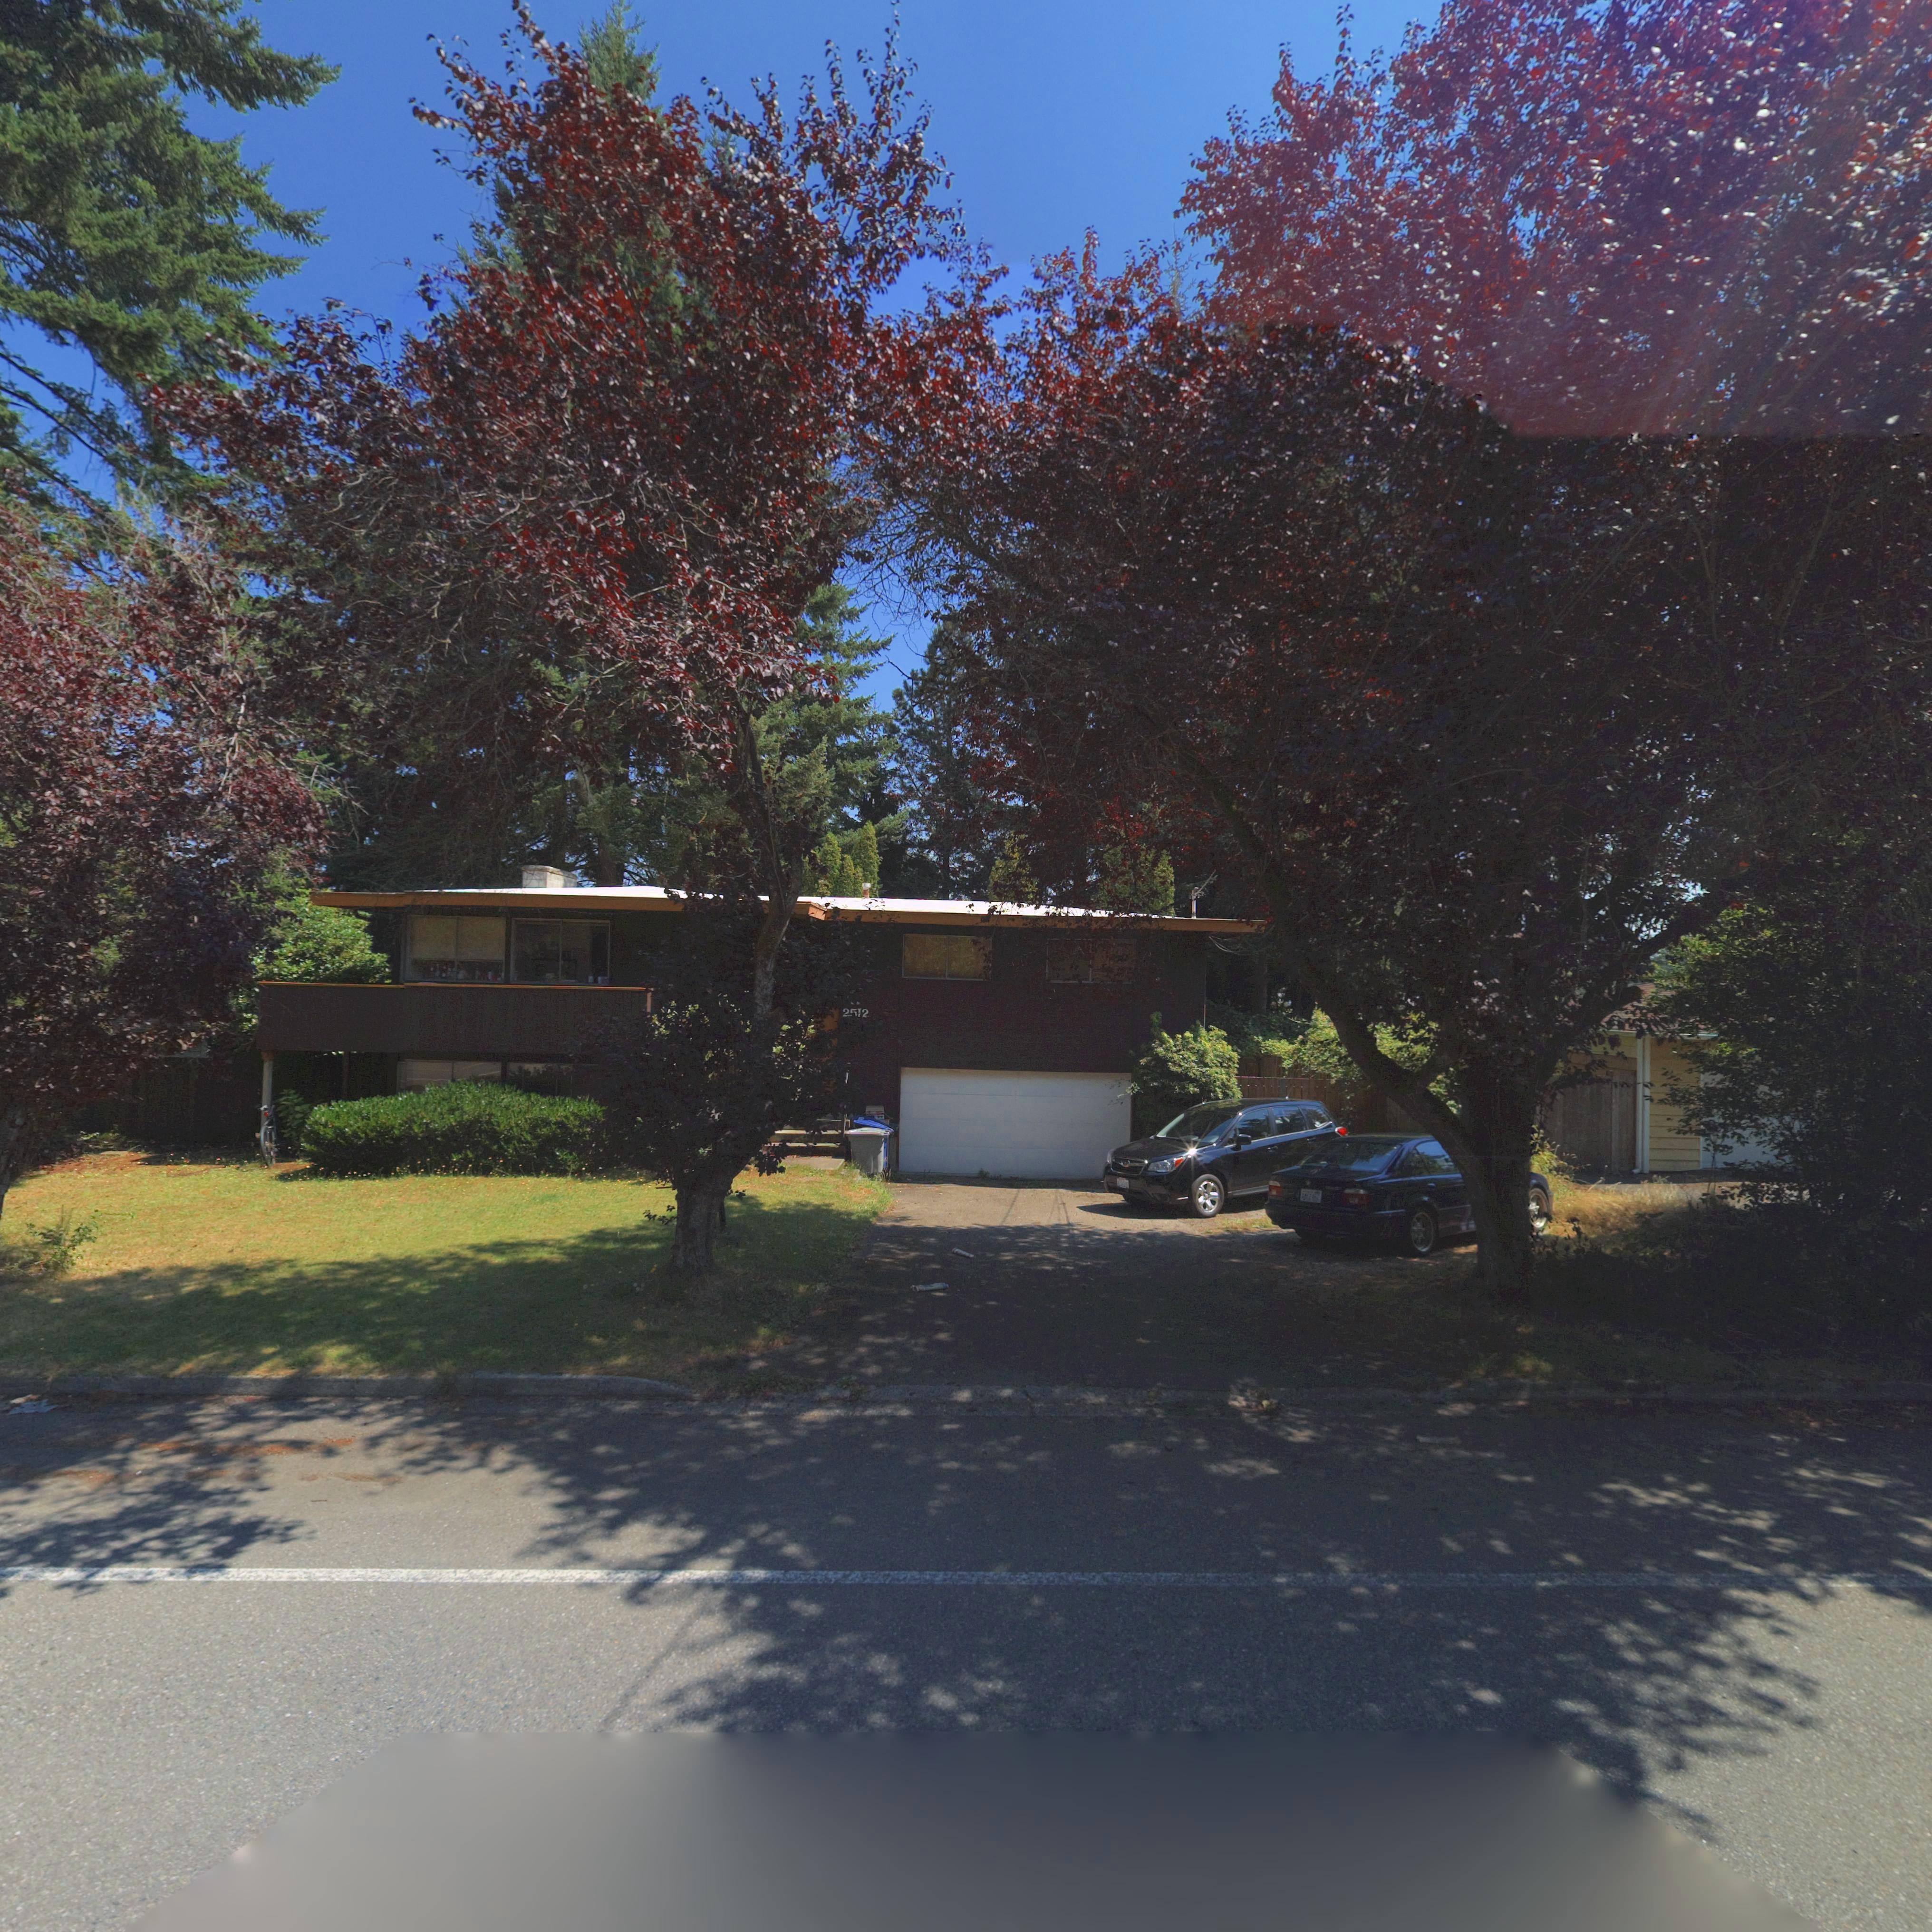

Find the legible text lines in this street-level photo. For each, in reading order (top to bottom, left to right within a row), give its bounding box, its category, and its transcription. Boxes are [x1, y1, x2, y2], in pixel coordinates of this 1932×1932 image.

[842, 1008, 869, 1020] StreetNumber: 2512